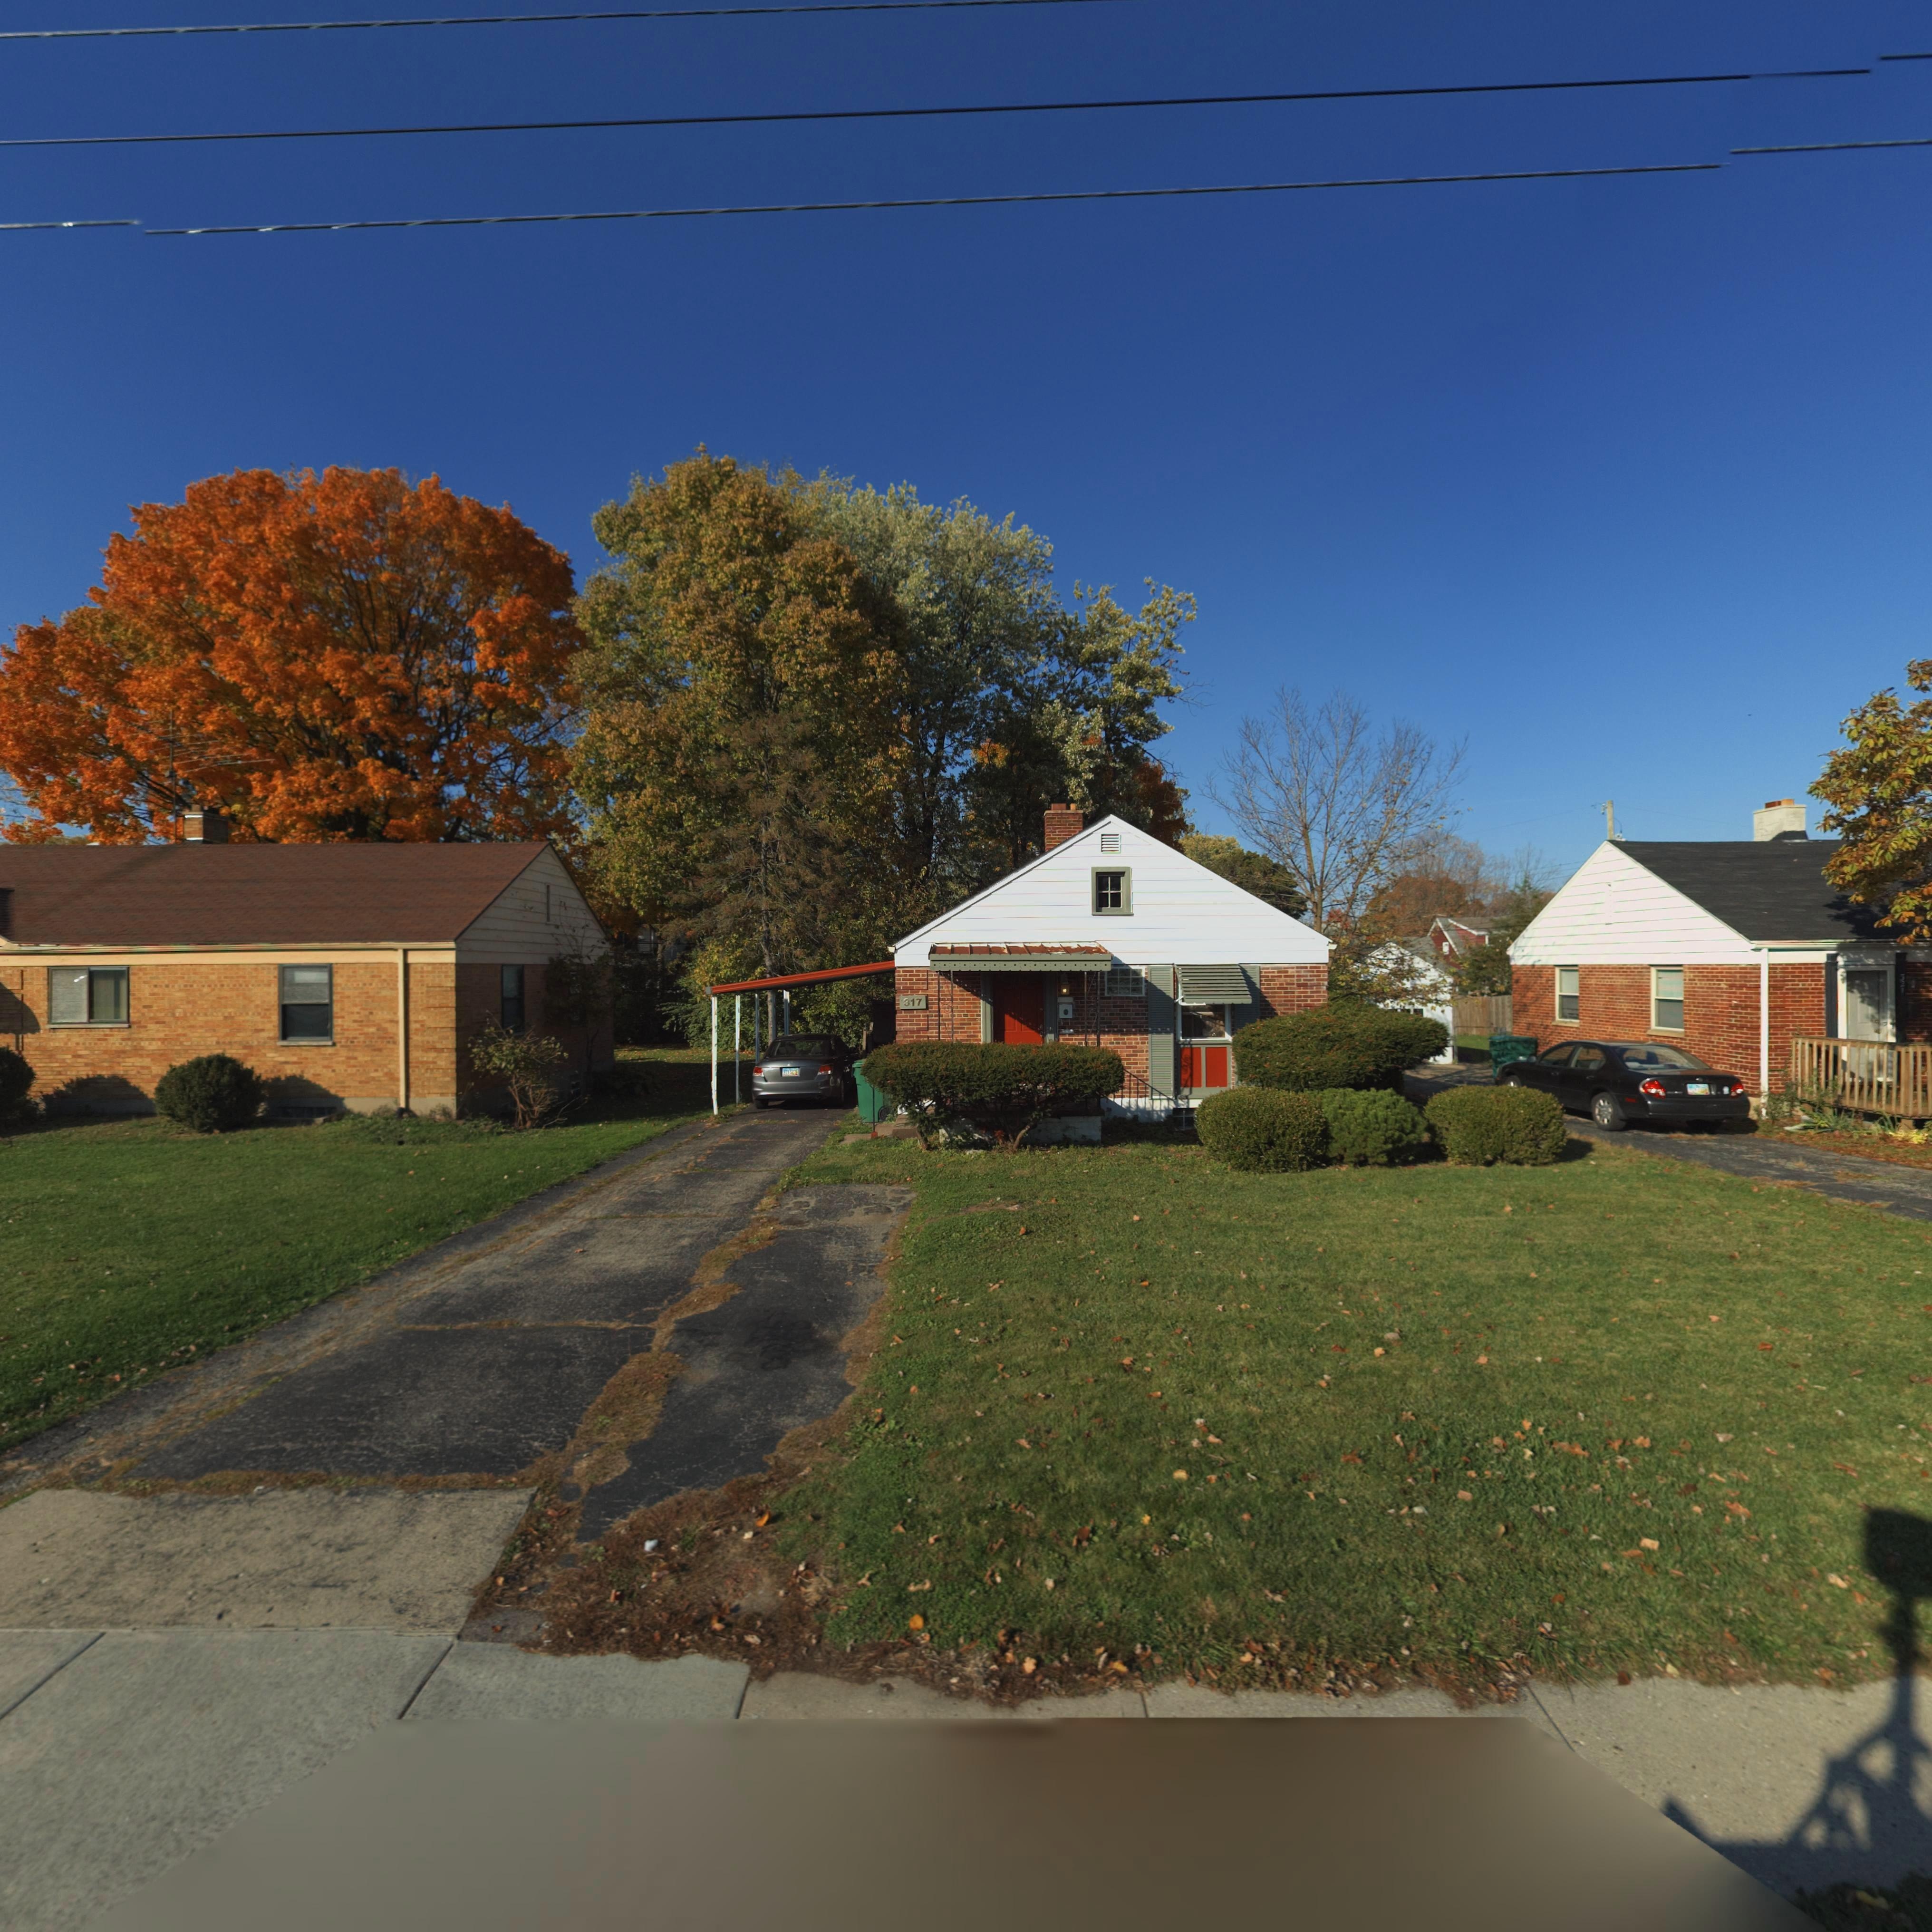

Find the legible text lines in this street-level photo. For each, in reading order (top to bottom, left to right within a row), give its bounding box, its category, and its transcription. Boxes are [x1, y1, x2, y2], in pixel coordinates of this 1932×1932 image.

[903, 996, 924, 1008] StreetNumber: 317